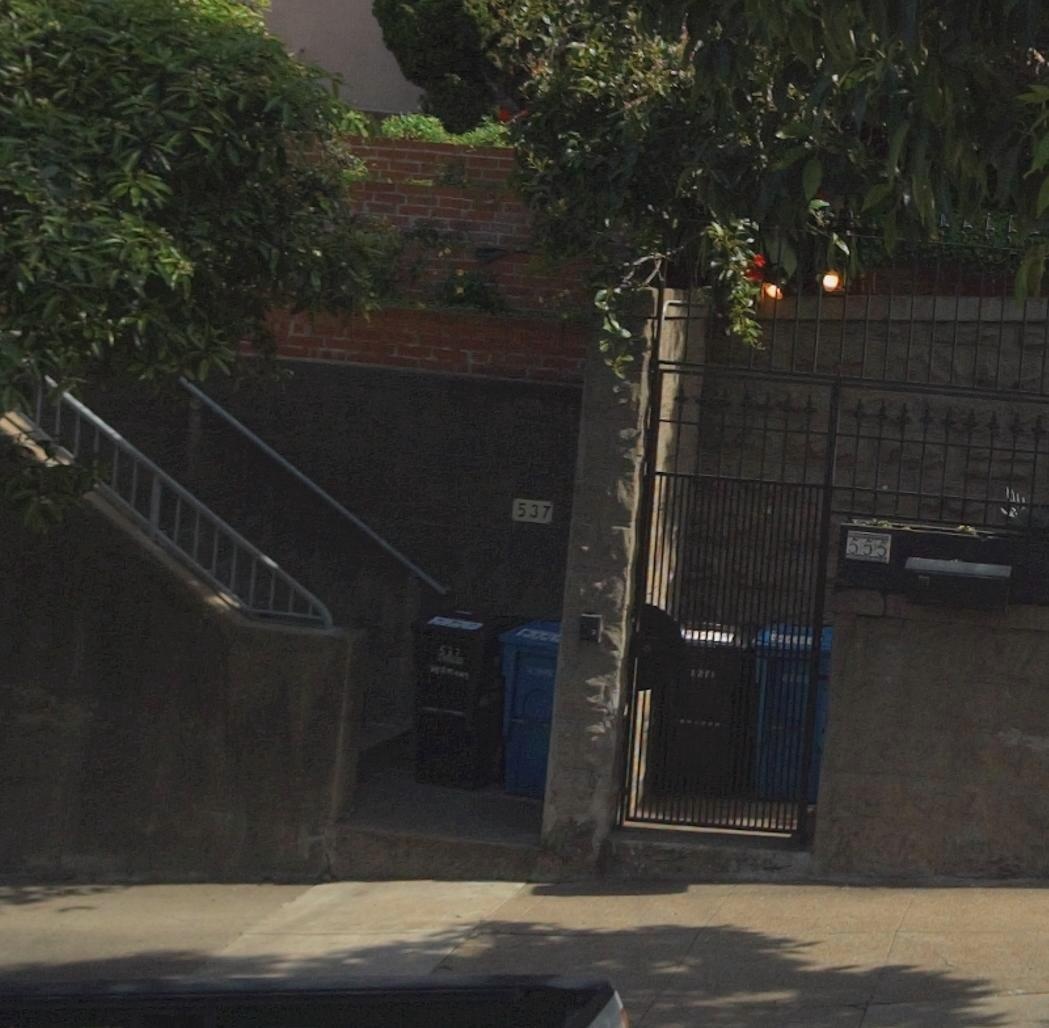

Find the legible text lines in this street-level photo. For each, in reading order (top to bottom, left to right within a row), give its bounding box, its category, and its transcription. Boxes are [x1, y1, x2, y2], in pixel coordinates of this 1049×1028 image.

[516, 501, 553, 520] StreetNumber: 537
[846, 536, 889, 559] StreetNumber: 555
[437, 643, 463, 661] None: 53*